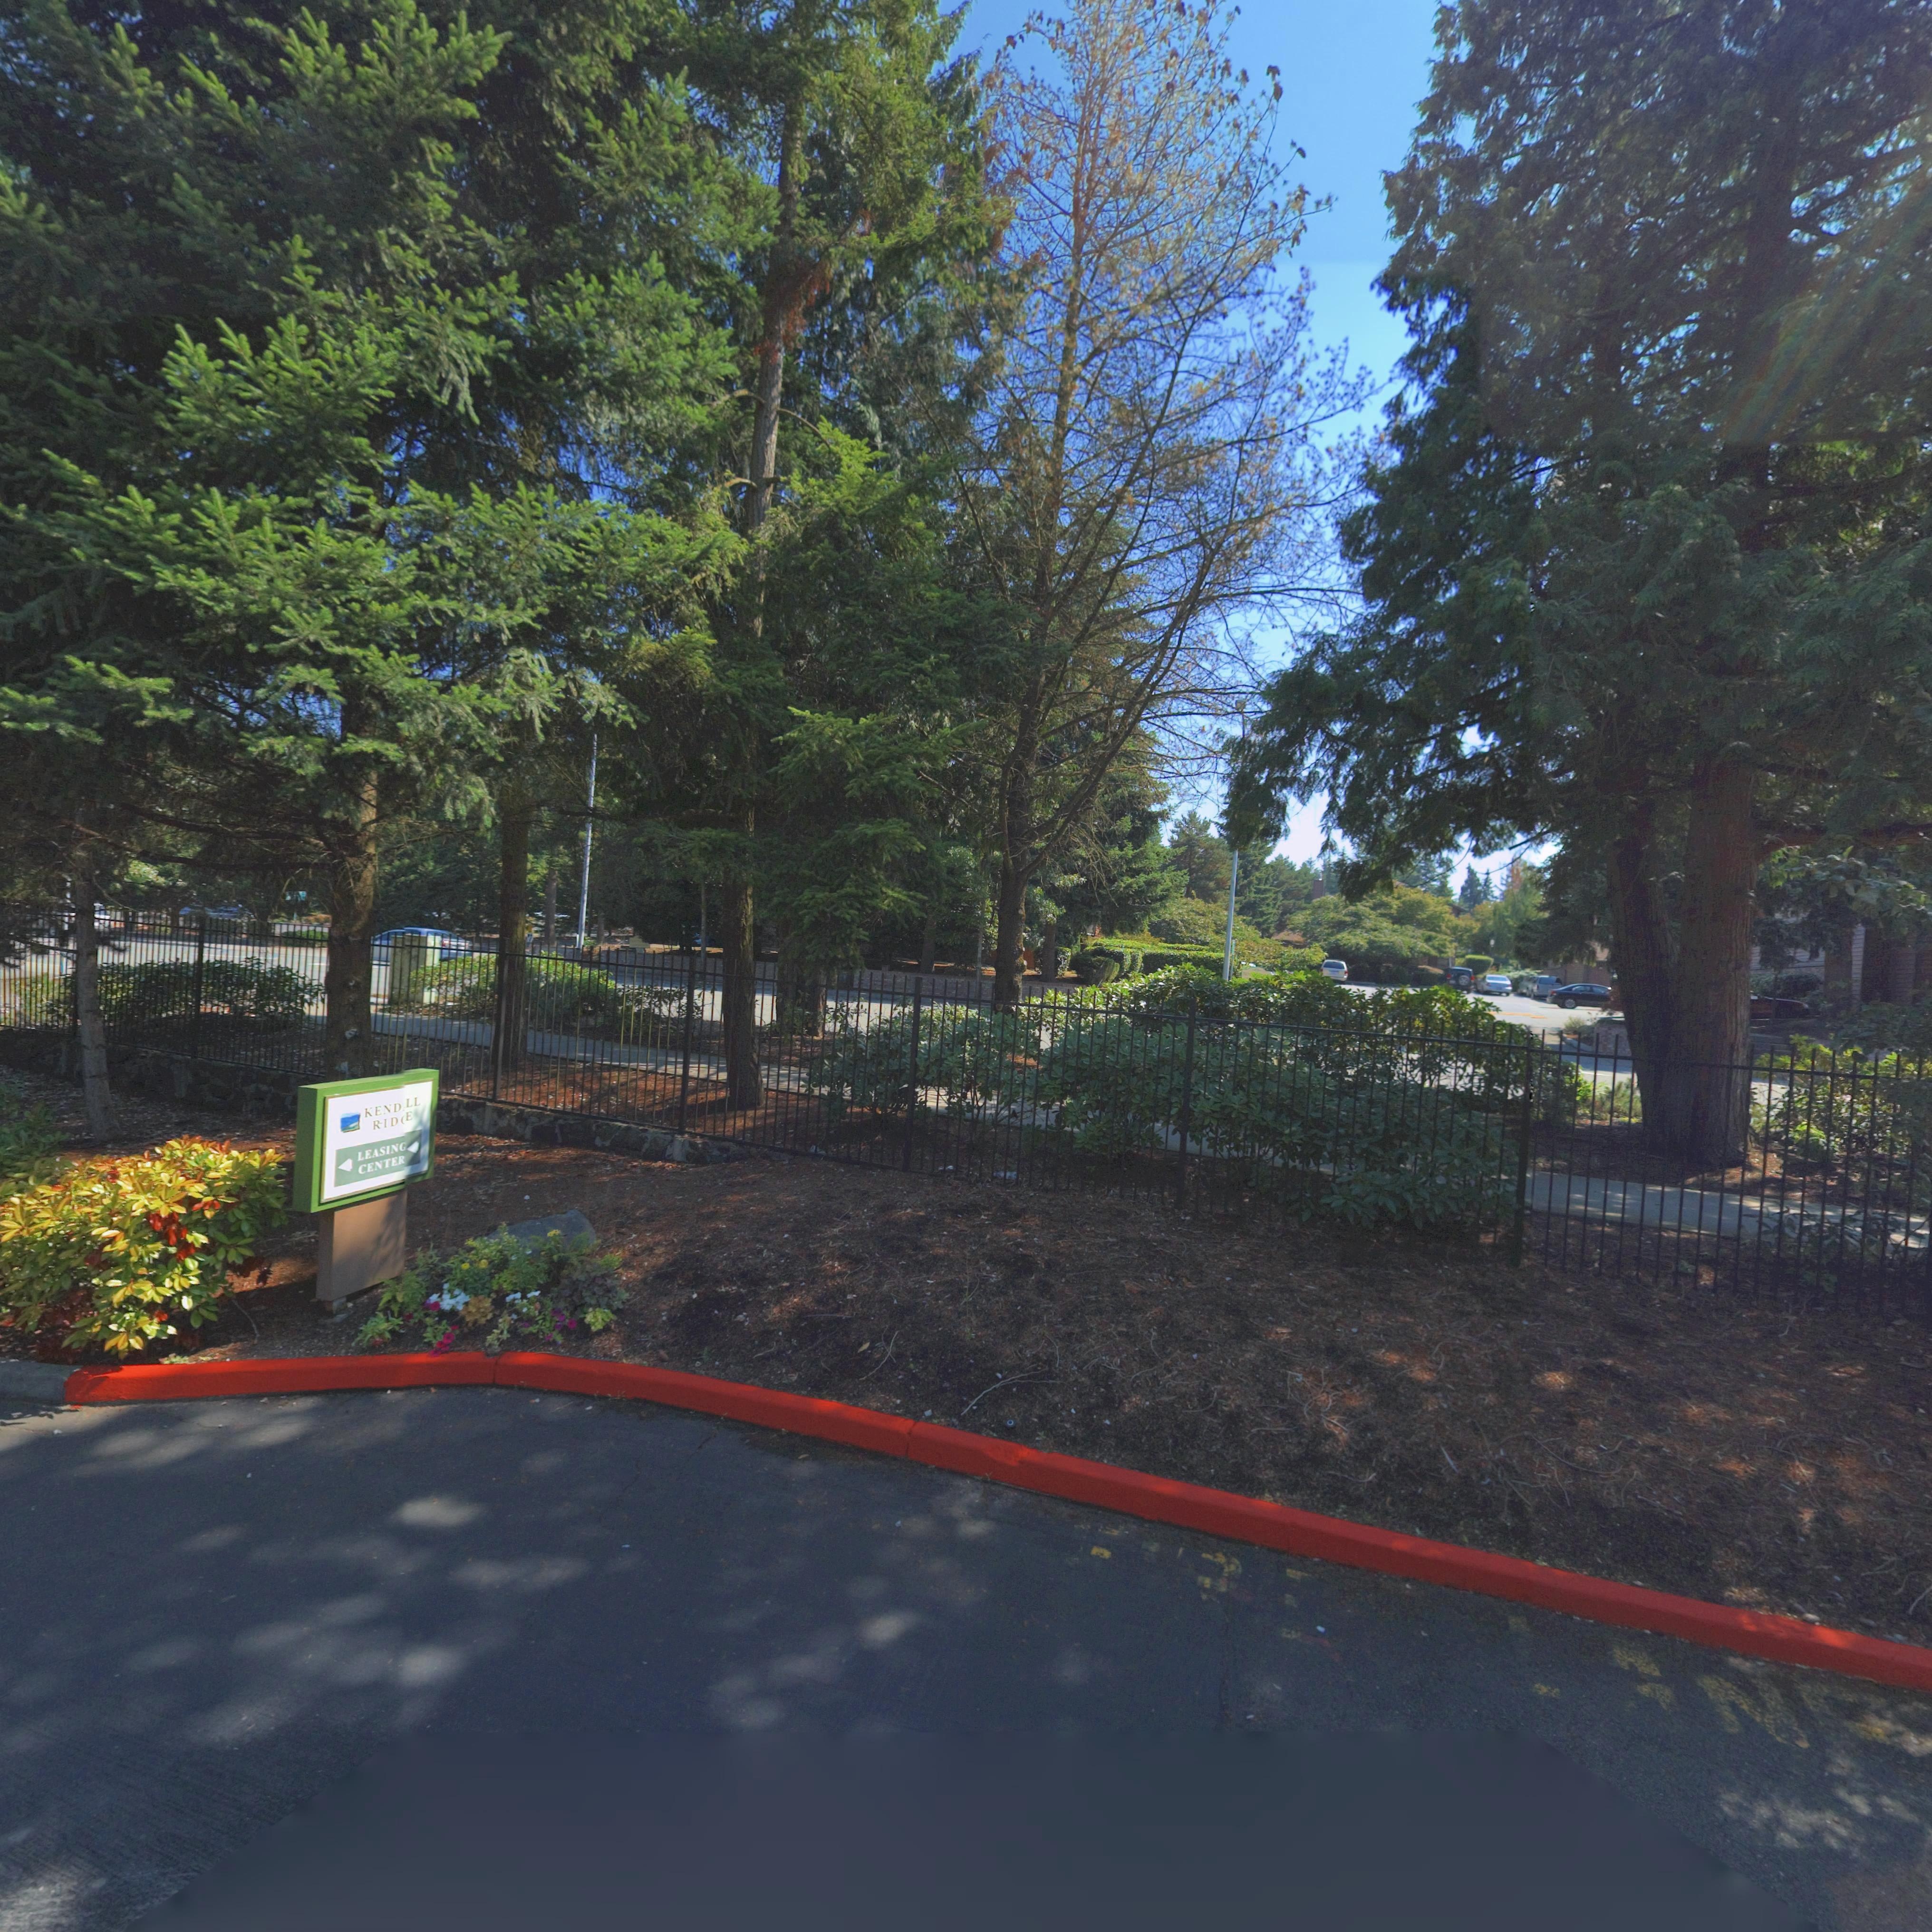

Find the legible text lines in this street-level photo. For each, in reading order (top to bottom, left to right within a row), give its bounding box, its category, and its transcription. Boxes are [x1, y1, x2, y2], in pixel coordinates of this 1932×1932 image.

[364, 1096, 422, 1117] BusinessName: **KEND*LL
[373, 1110, 415, 1130] BusinessName: RID*E
[357, 1141, 407, 1161] None: LEASING
[358, 1155, 406, 1175] None: CENTER